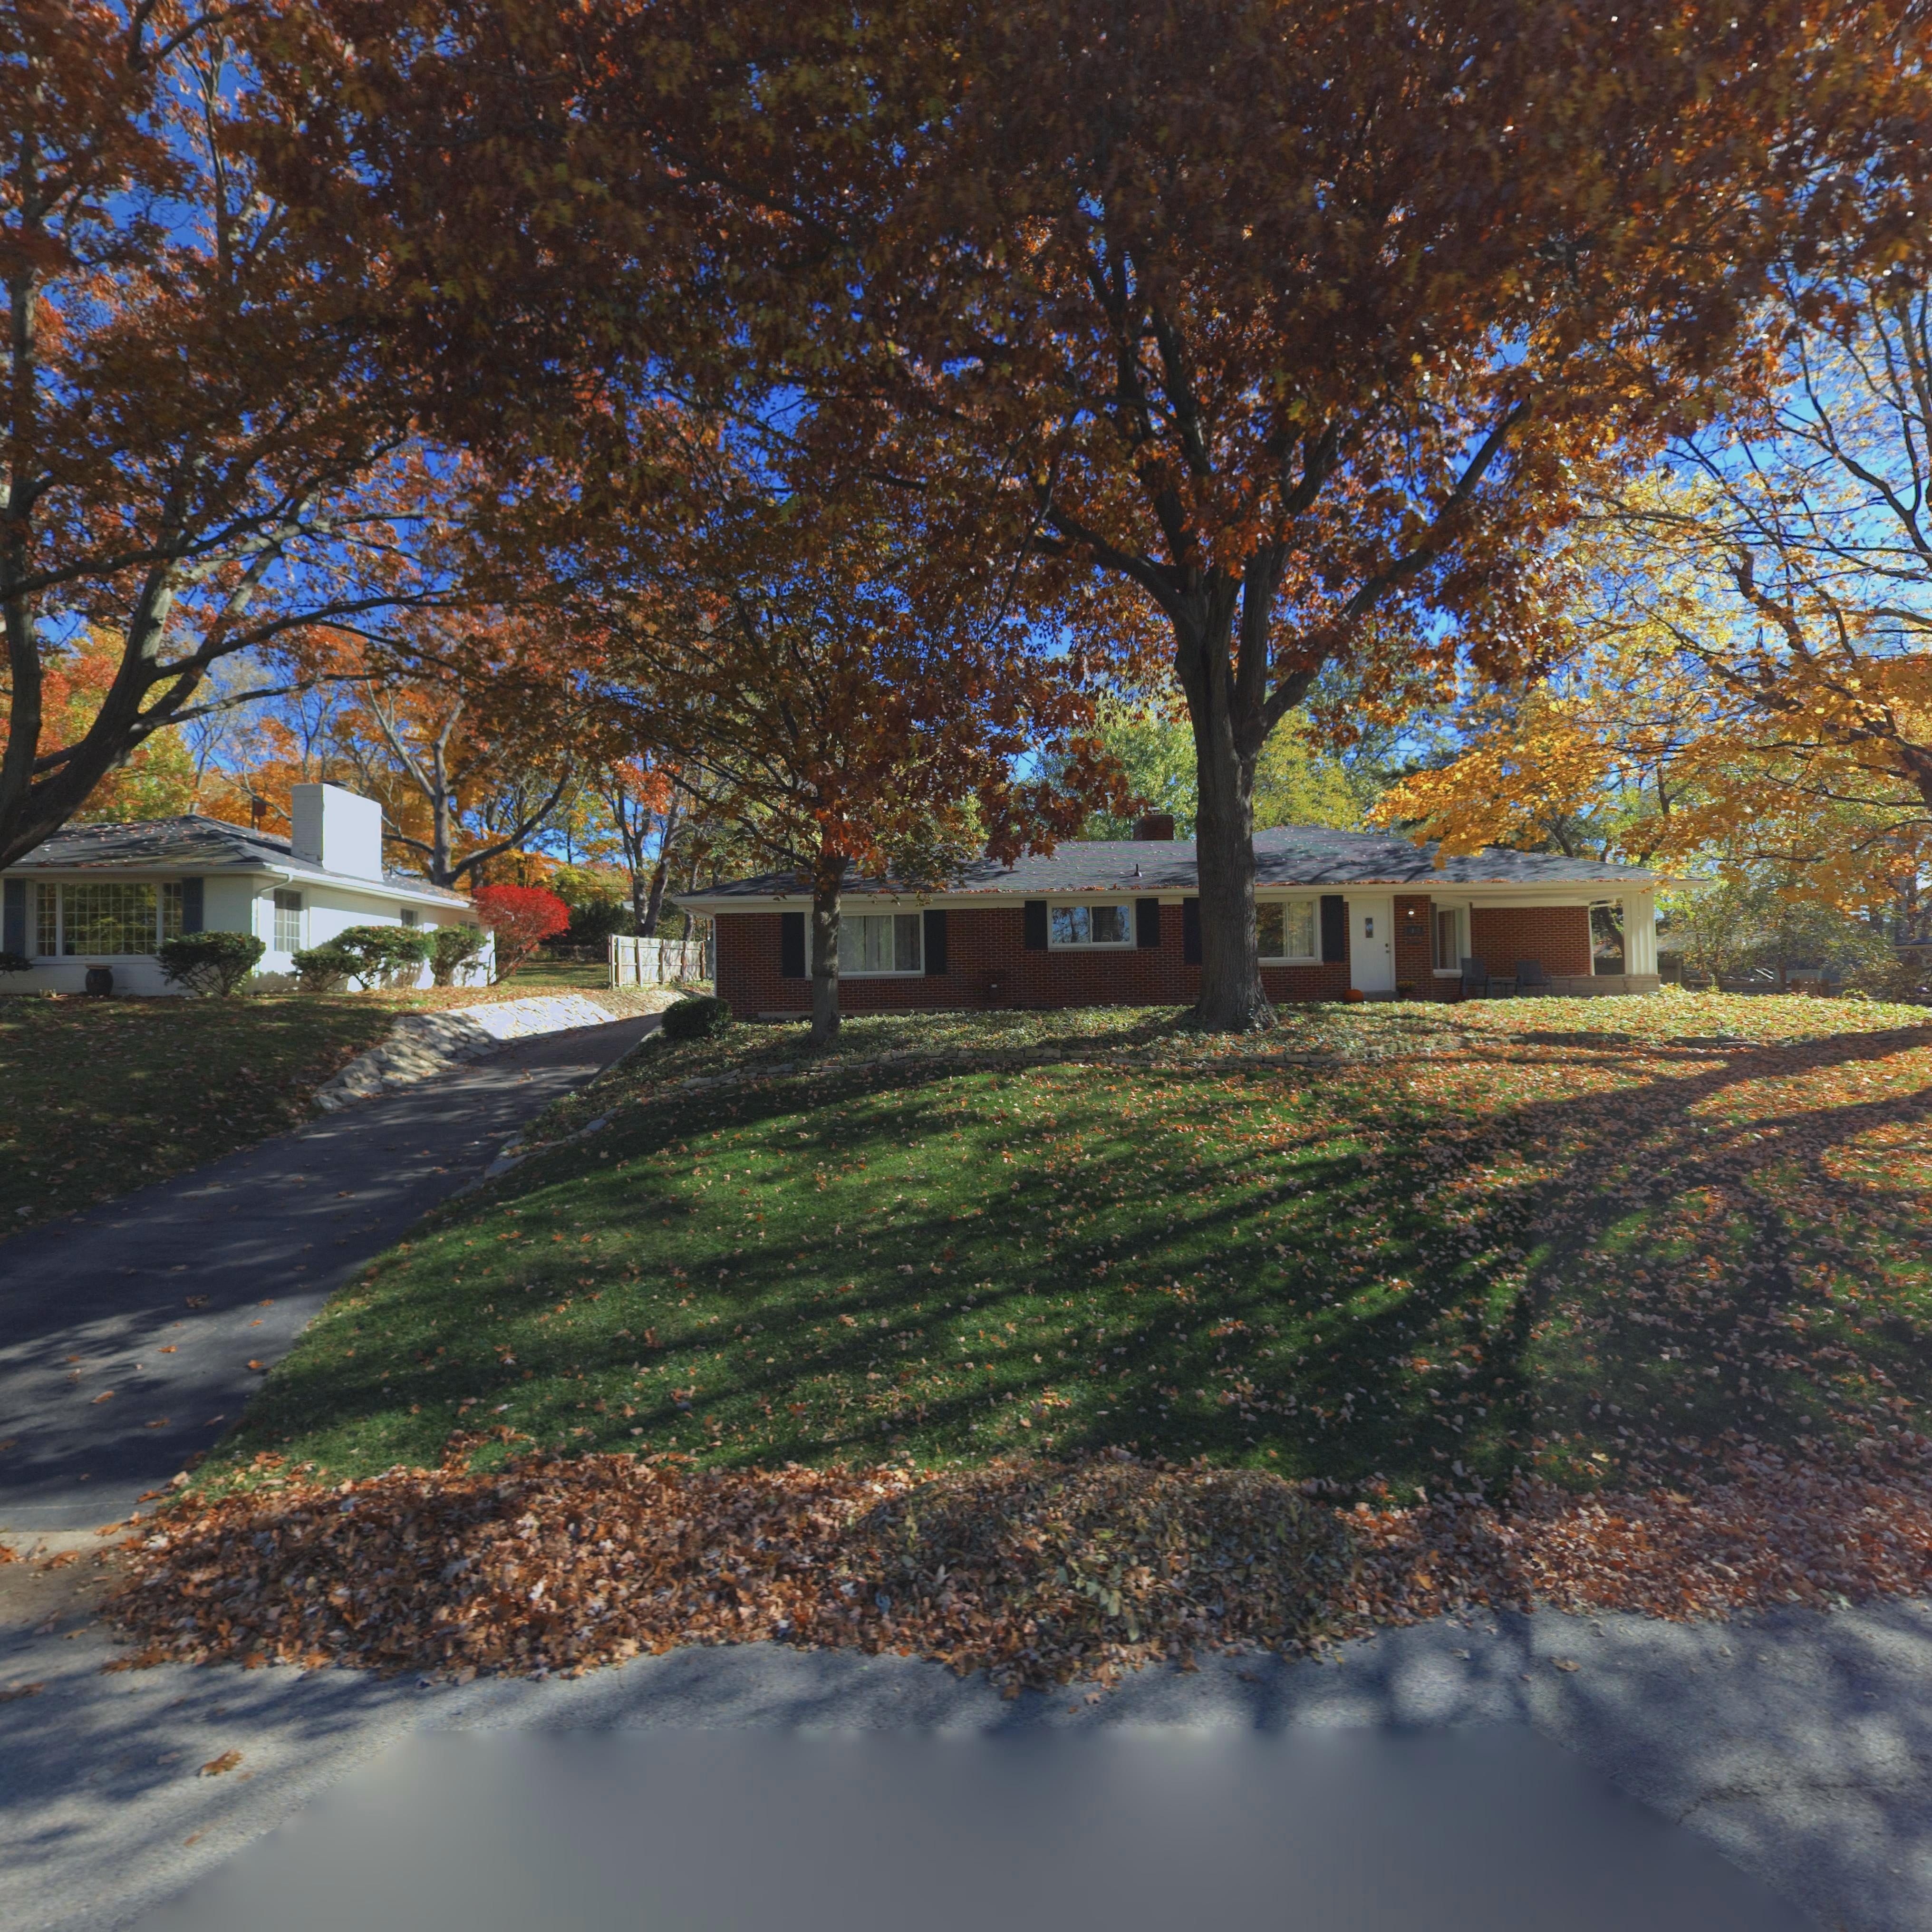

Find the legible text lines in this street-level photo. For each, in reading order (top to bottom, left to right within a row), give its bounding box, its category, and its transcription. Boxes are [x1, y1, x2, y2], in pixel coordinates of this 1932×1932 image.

[1407, 927, 1421, 934] StreetNumber: ***2